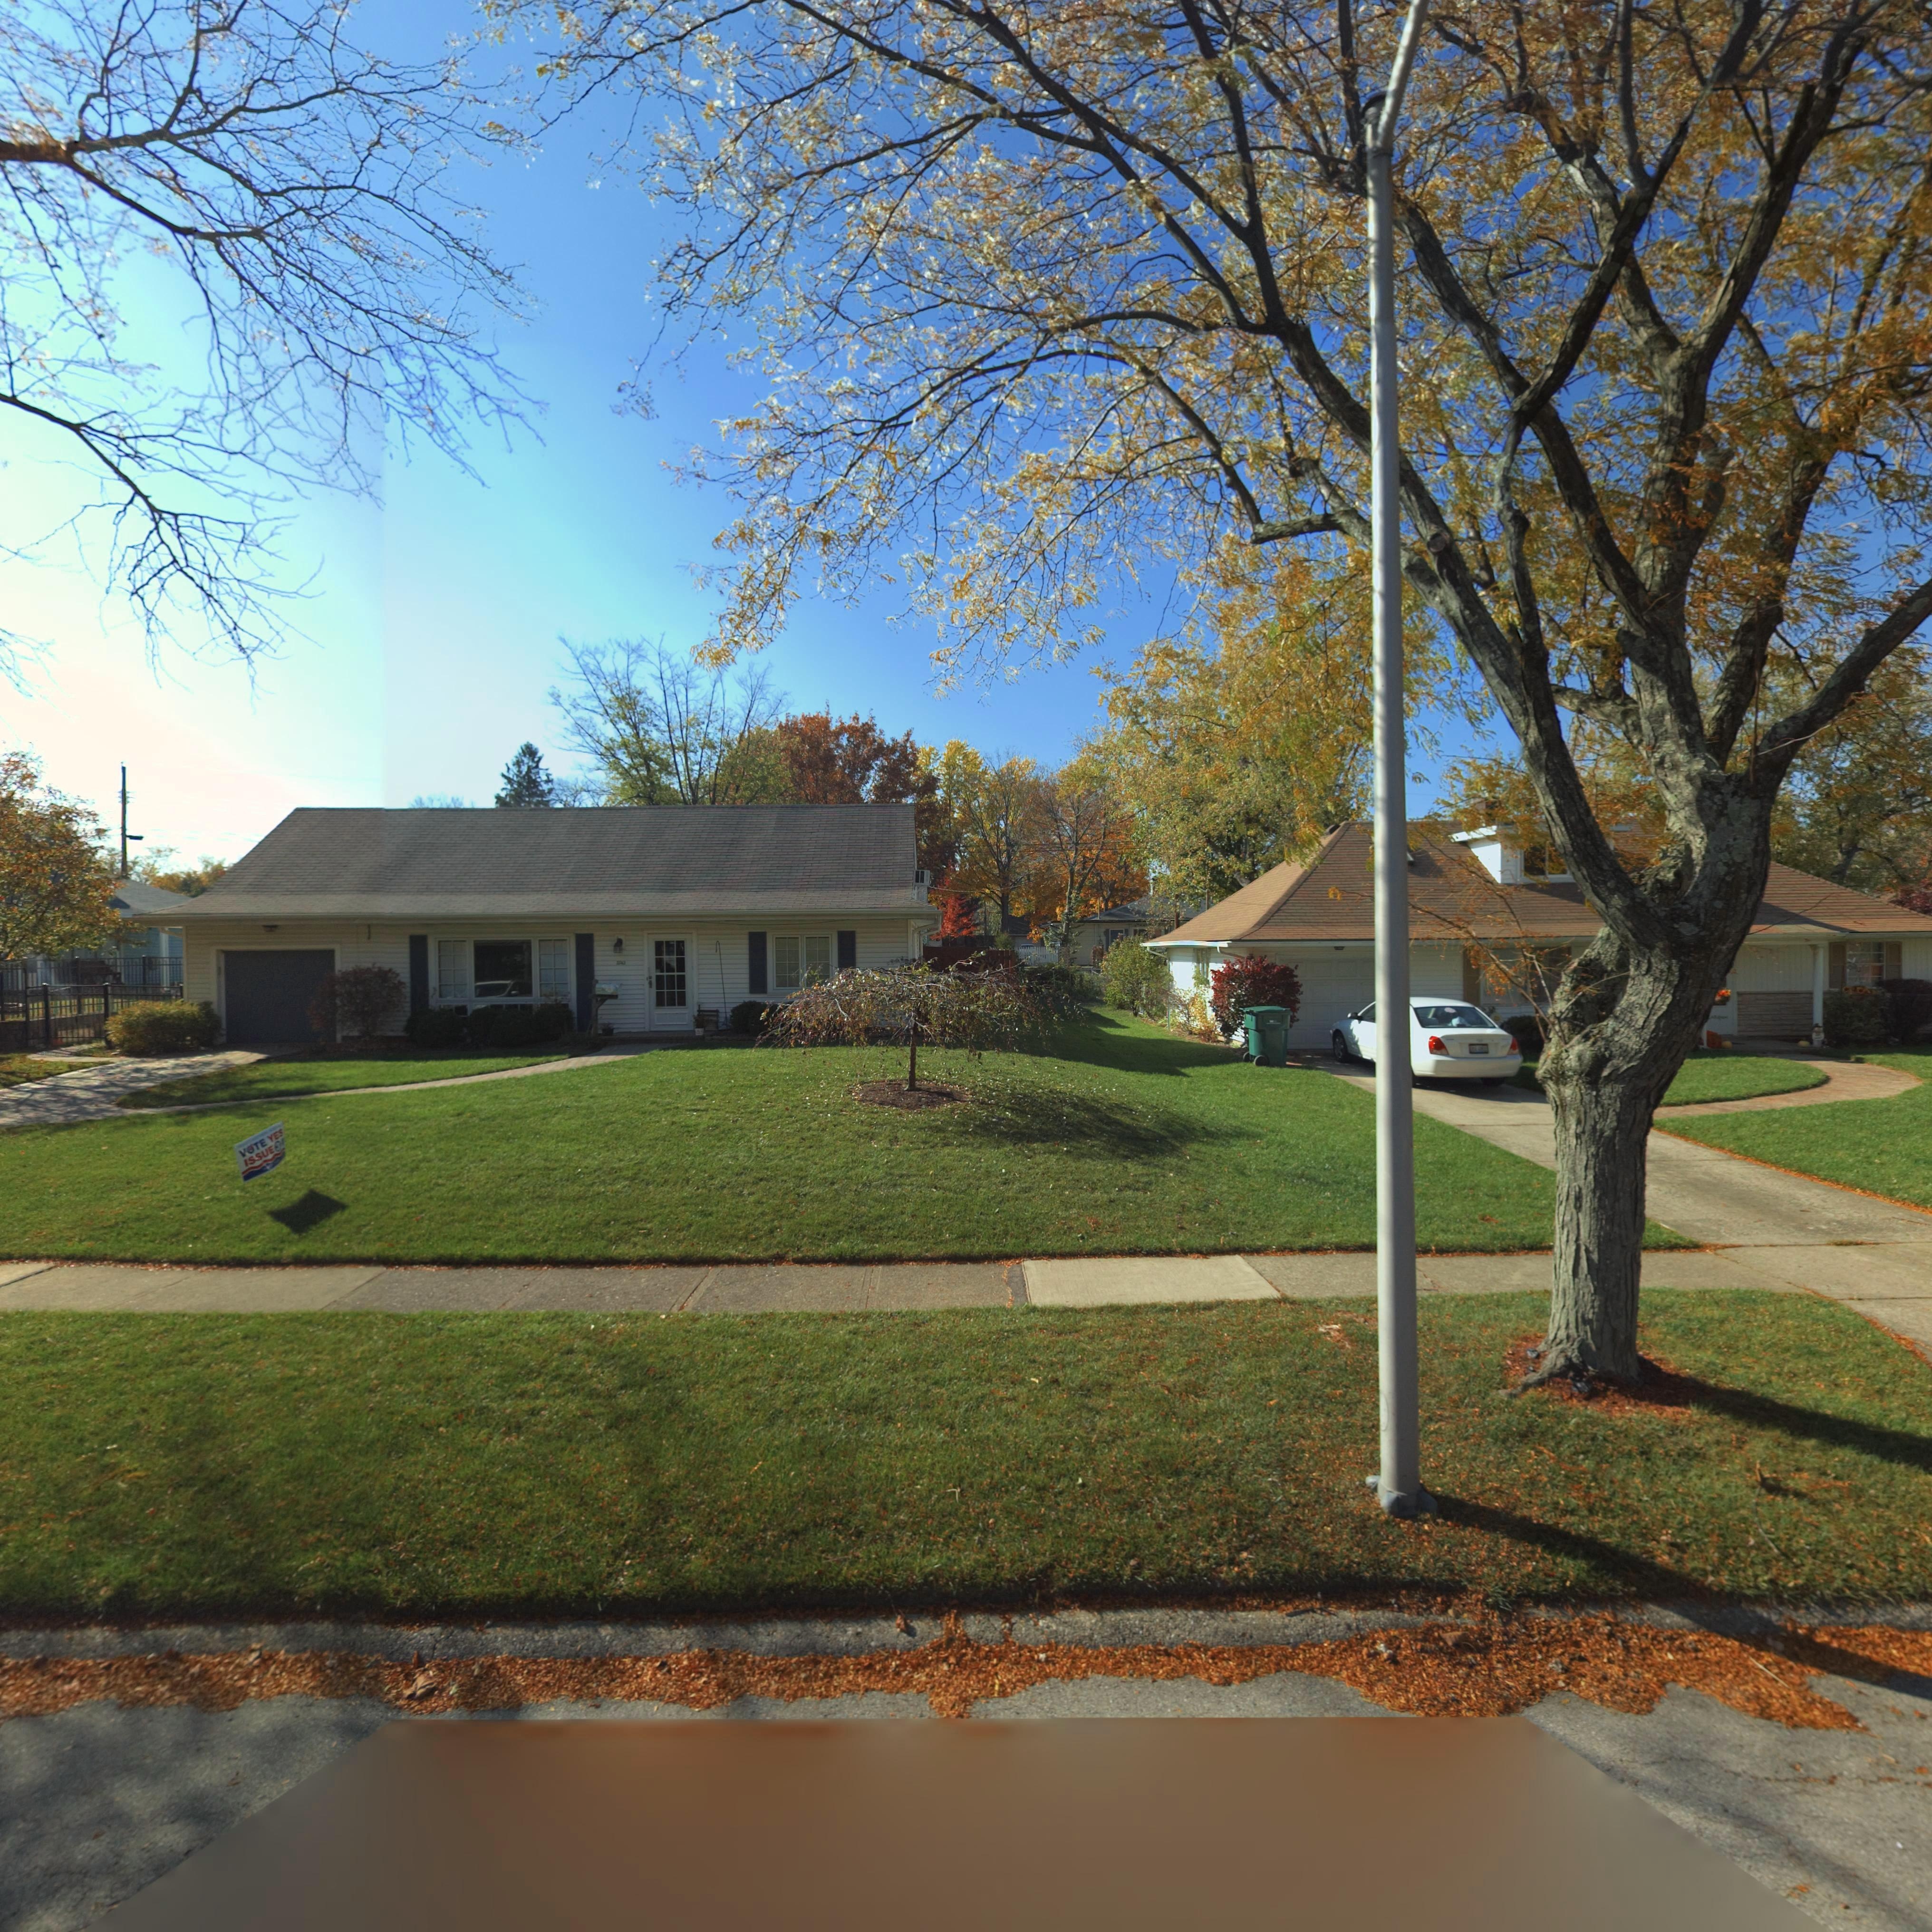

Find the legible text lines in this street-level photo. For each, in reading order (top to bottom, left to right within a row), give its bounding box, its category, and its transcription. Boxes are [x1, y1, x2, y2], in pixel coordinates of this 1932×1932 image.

[616, 960, 626, 965] StreetNumber: *743
[237, 1128, 284, 1158] None: V*TE YES
[242, 1141, 281, 1169] None: ISSUE 3